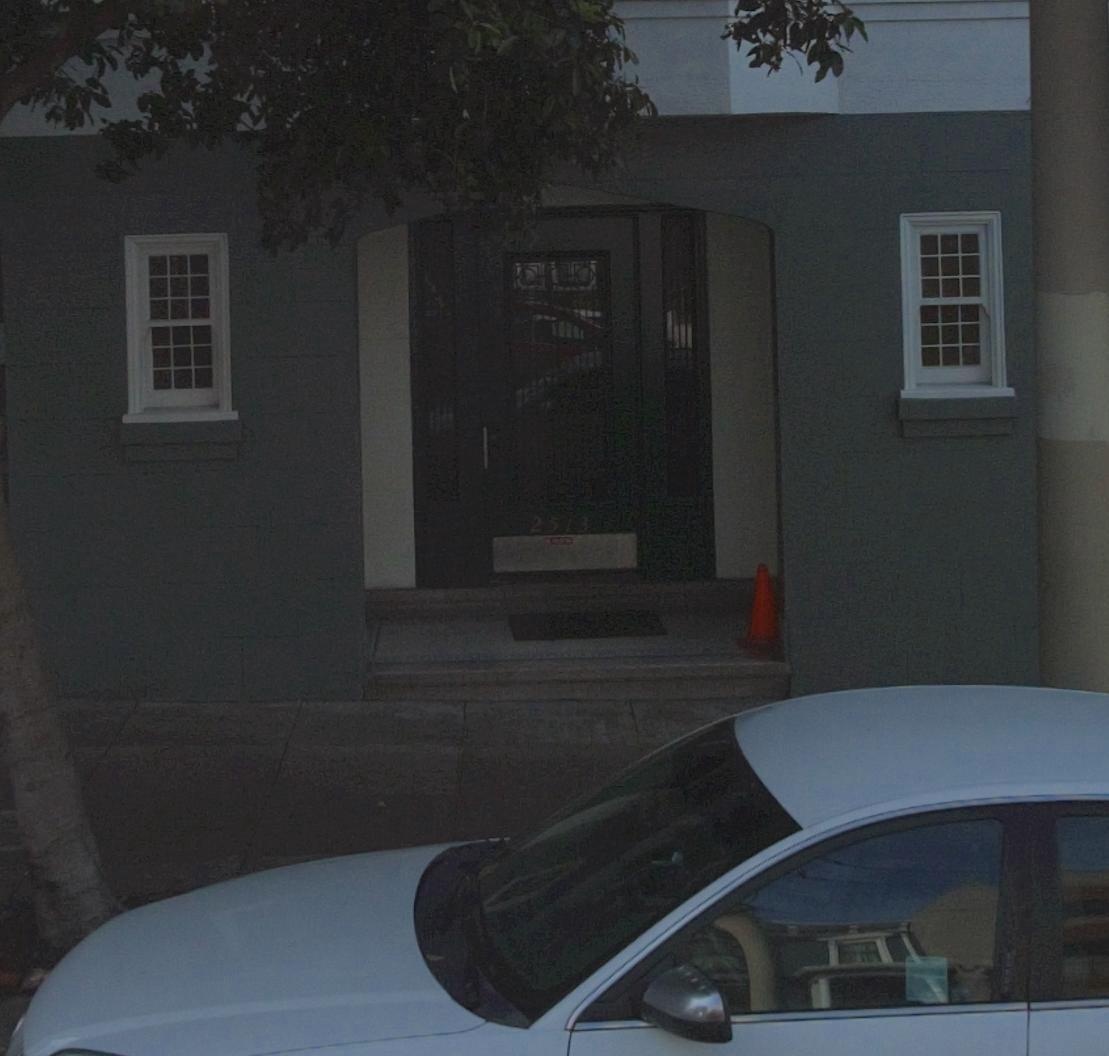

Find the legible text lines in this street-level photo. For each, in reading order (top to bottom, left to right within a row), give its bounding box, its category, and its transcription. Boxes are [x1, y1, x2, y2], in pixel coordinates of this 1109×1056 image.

[529, 515, 590, 536] StreetNumber: 2513